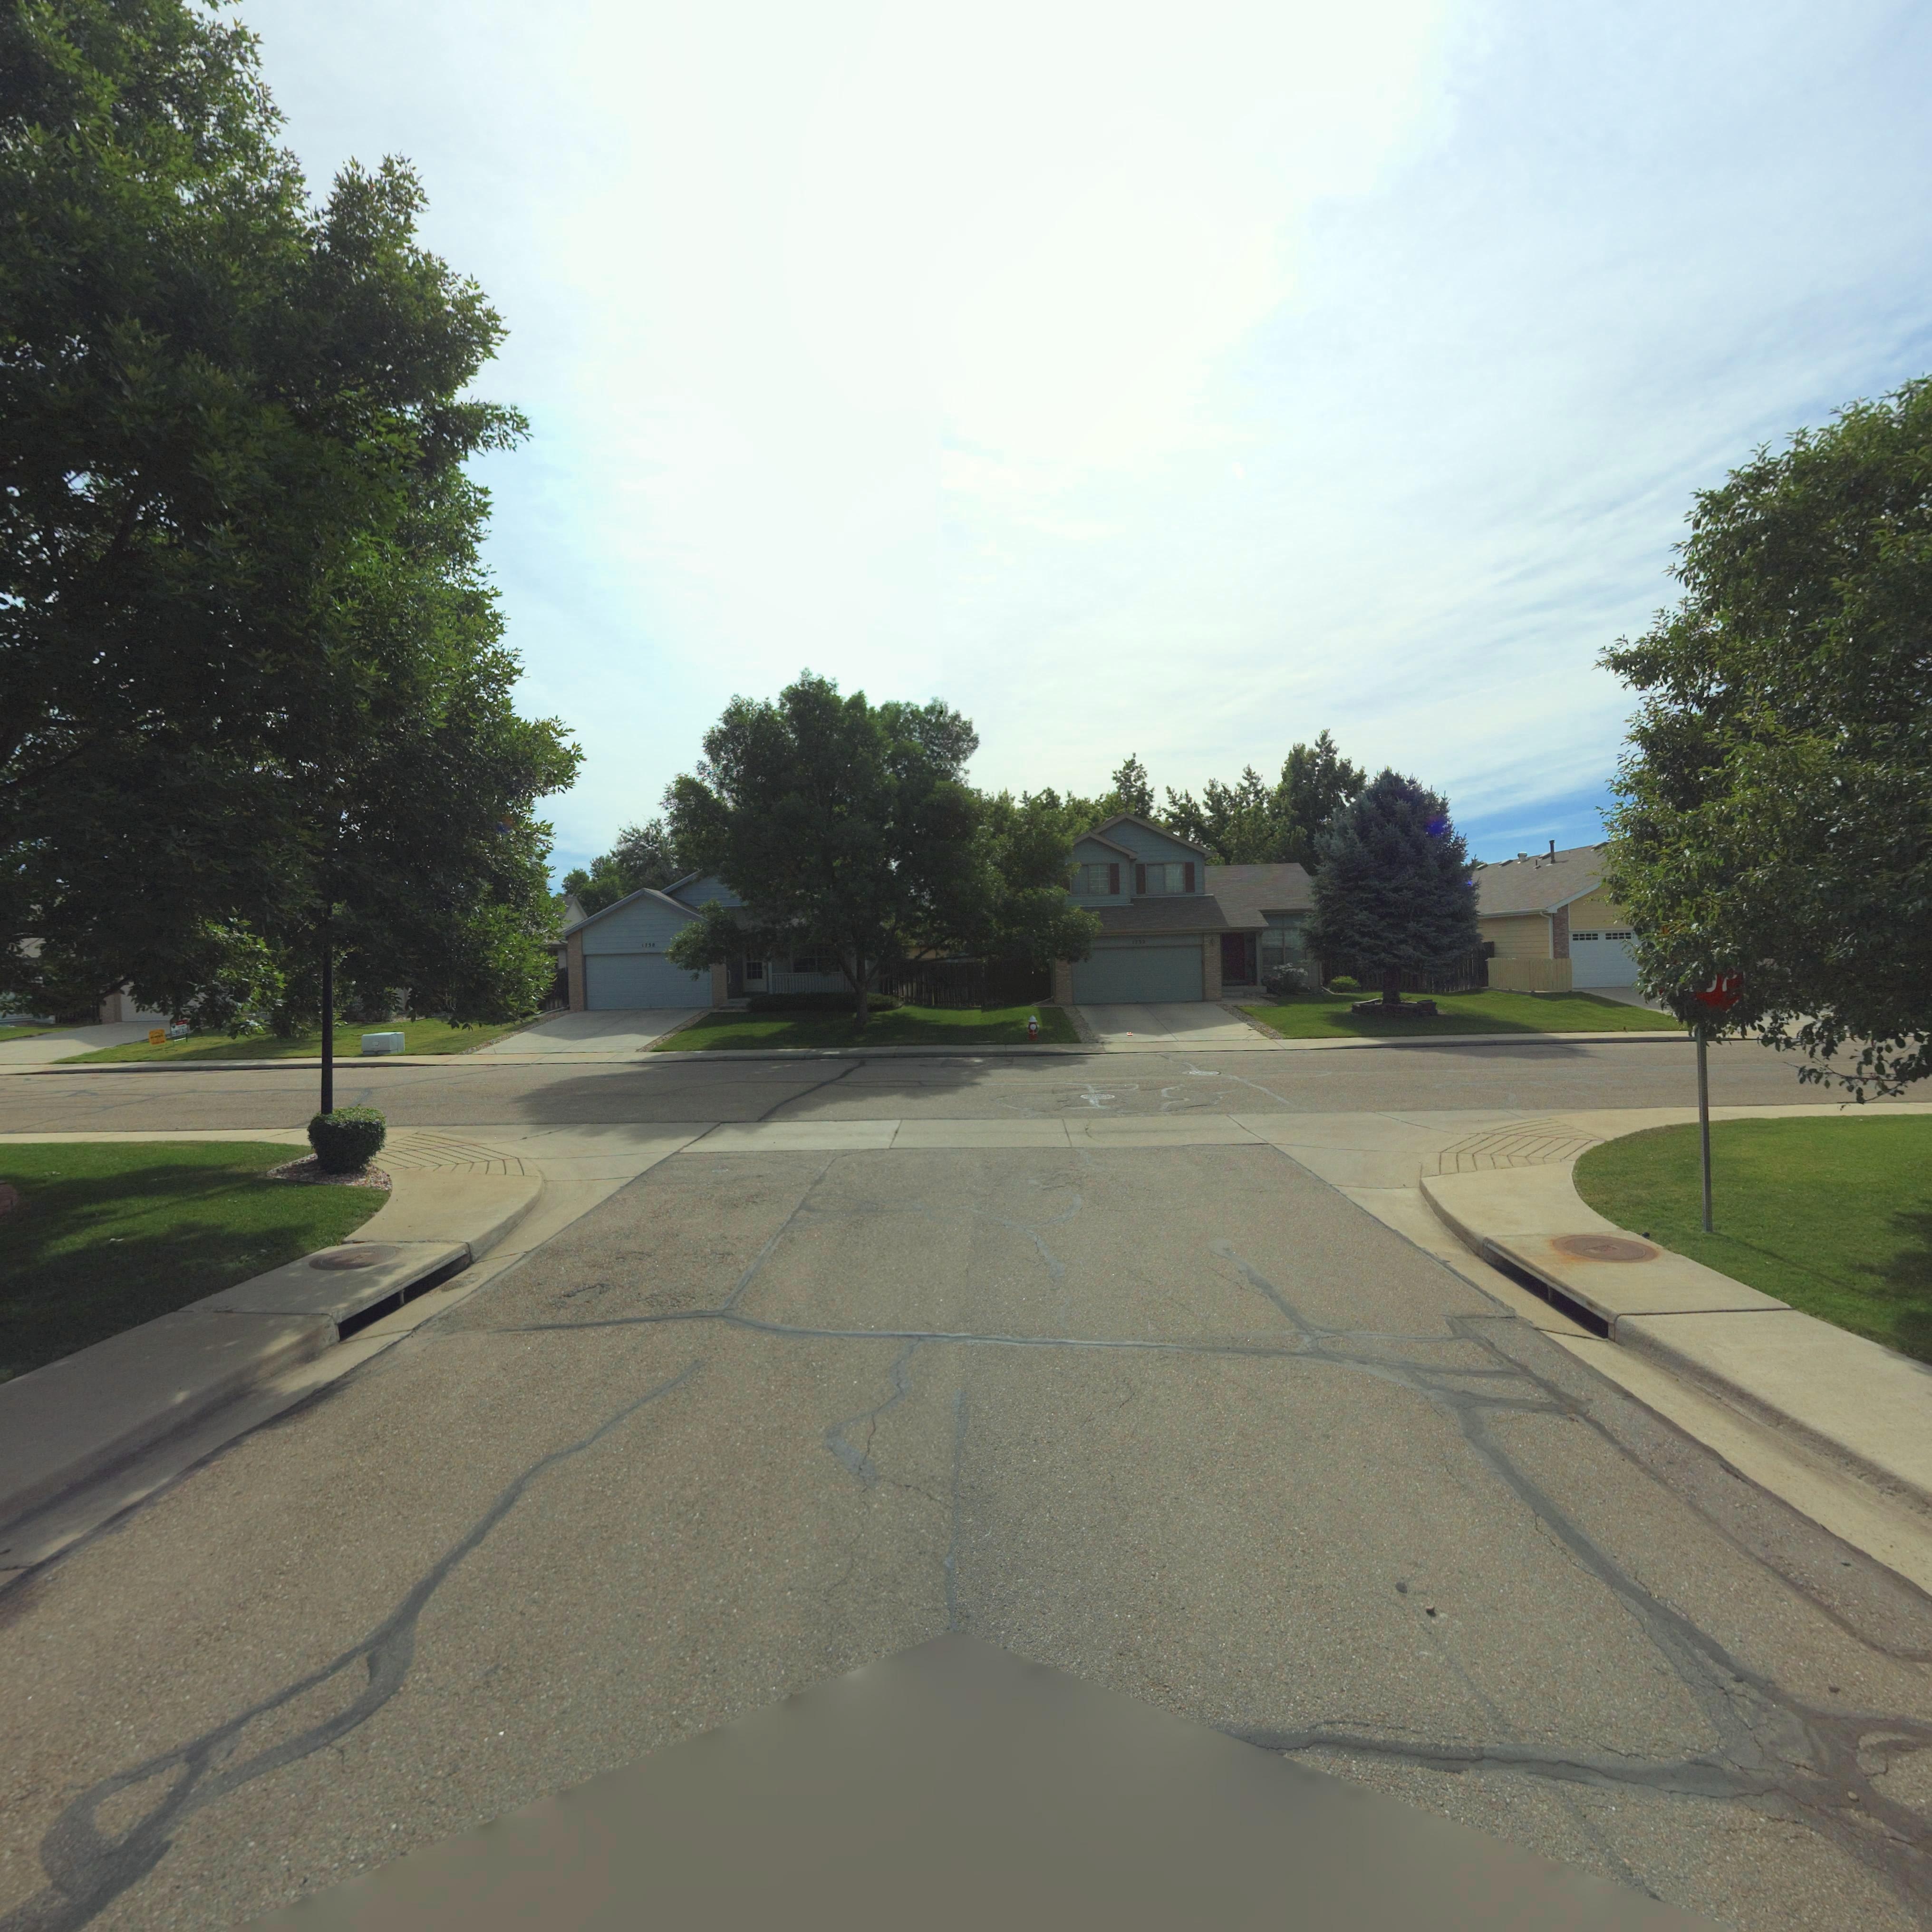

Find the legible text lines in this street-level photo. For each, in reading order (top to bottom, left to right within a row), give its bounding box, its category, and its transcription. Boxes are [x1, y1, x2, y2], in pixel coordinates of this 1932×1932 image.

[1131, 938, 1146, 945] StreetNumber: 1732
[641, 943, 655, 947] StreetNumber: 1738